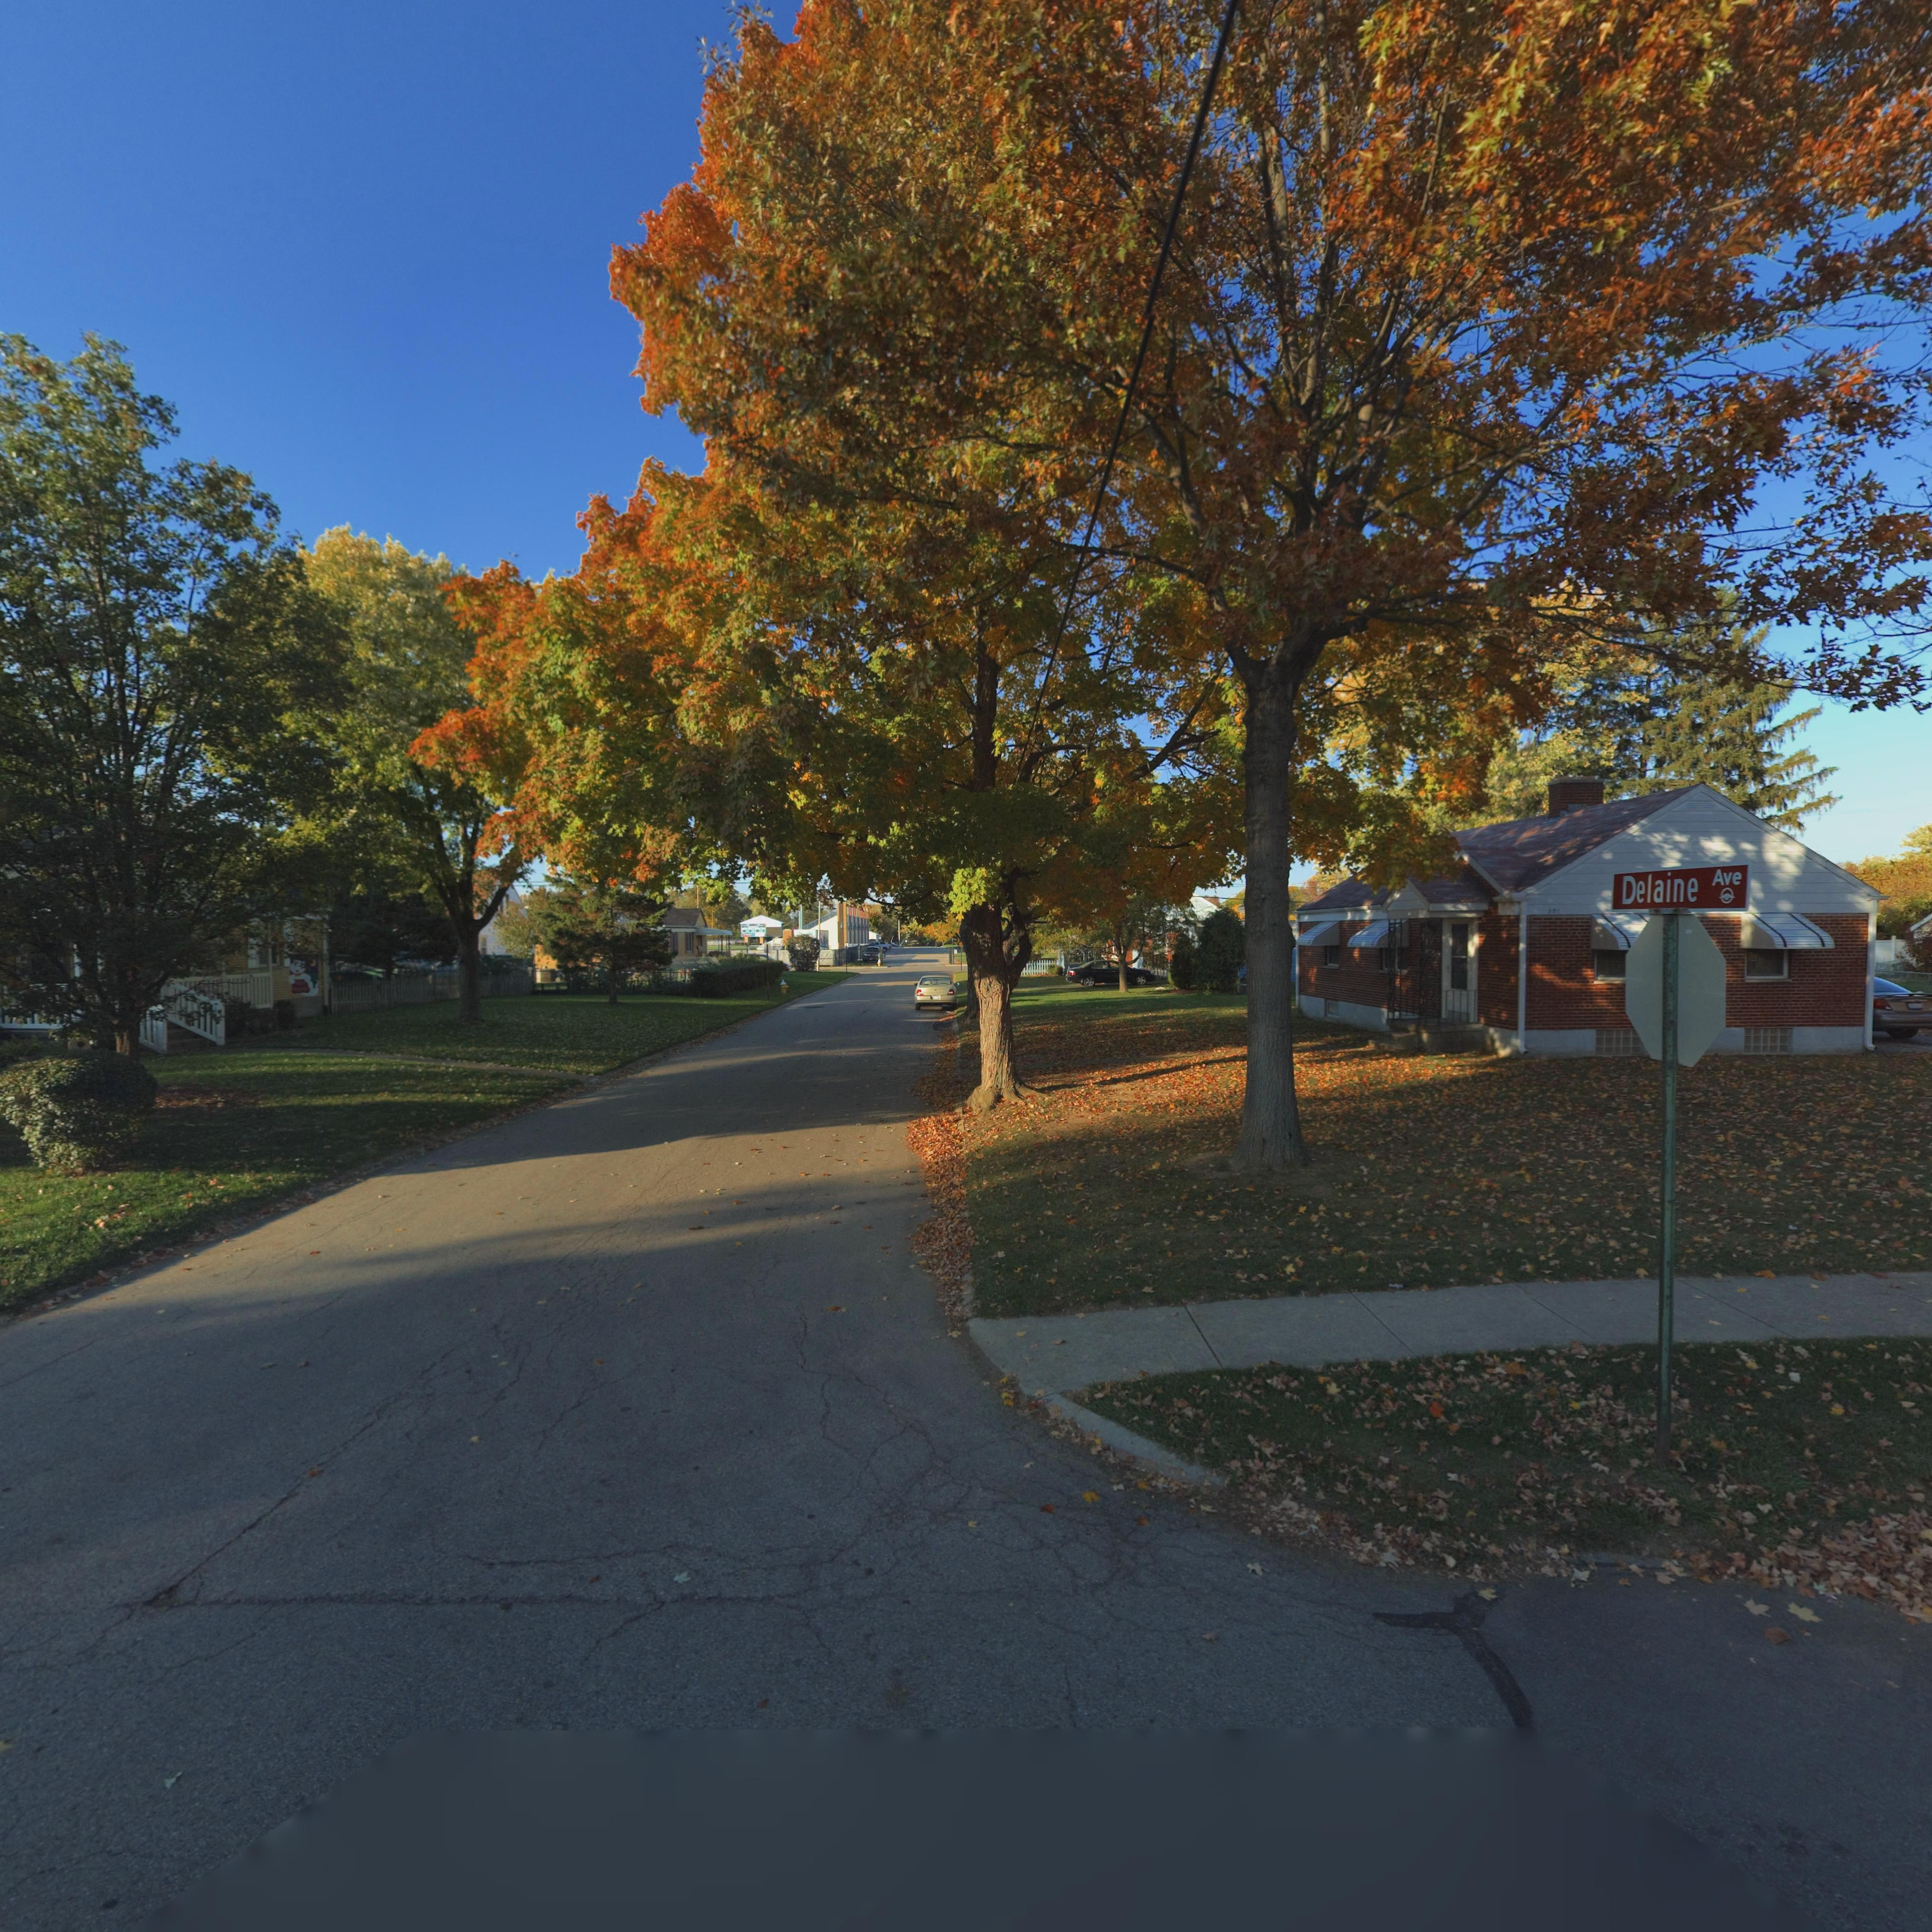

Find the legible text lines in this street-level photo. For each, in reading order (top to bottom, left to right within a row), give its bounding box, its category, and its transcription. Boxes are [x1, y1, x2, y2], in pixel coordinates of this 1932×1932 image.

[1621, 868, 1743, 906] StreetName: Delaine Ave
[1547, 908, 1560, 914] StreetNumber: 301